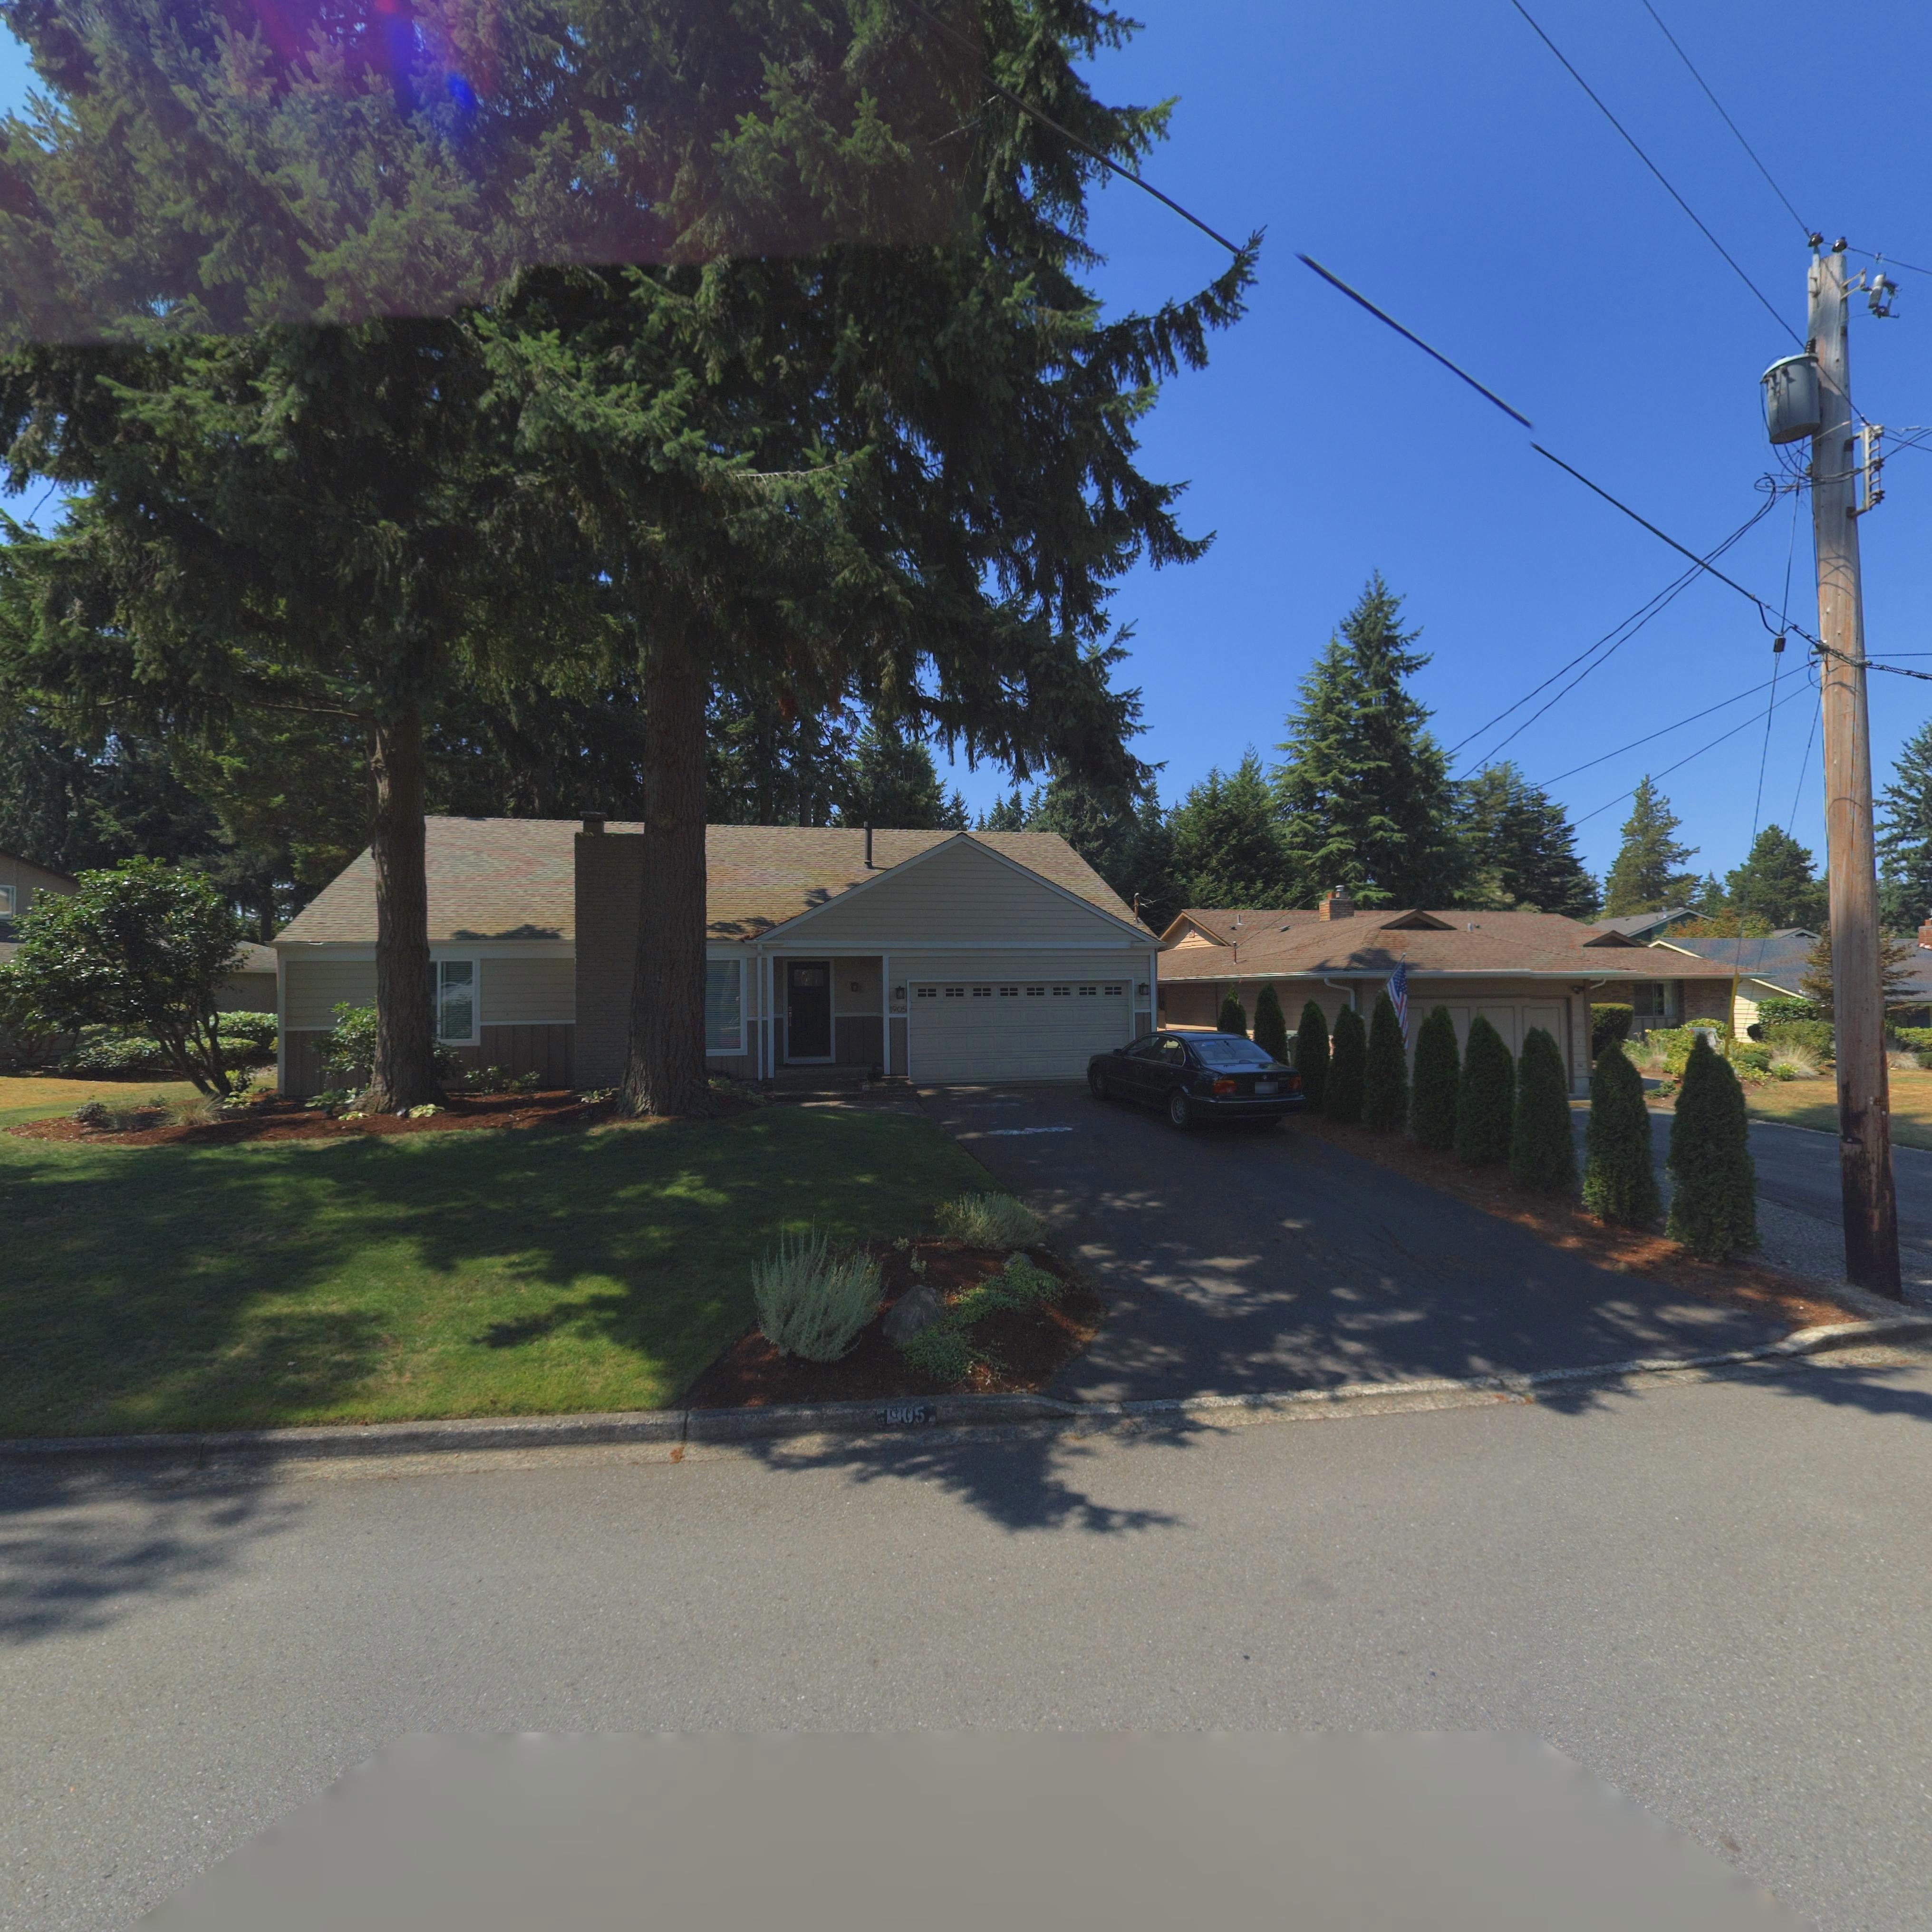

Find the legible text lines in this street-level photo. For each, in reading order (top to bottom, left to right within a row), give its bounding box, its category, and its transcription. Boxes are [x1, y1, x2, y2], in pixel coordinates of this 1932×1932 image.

[870, 1403, 938, 1431] StreetNumber: **05